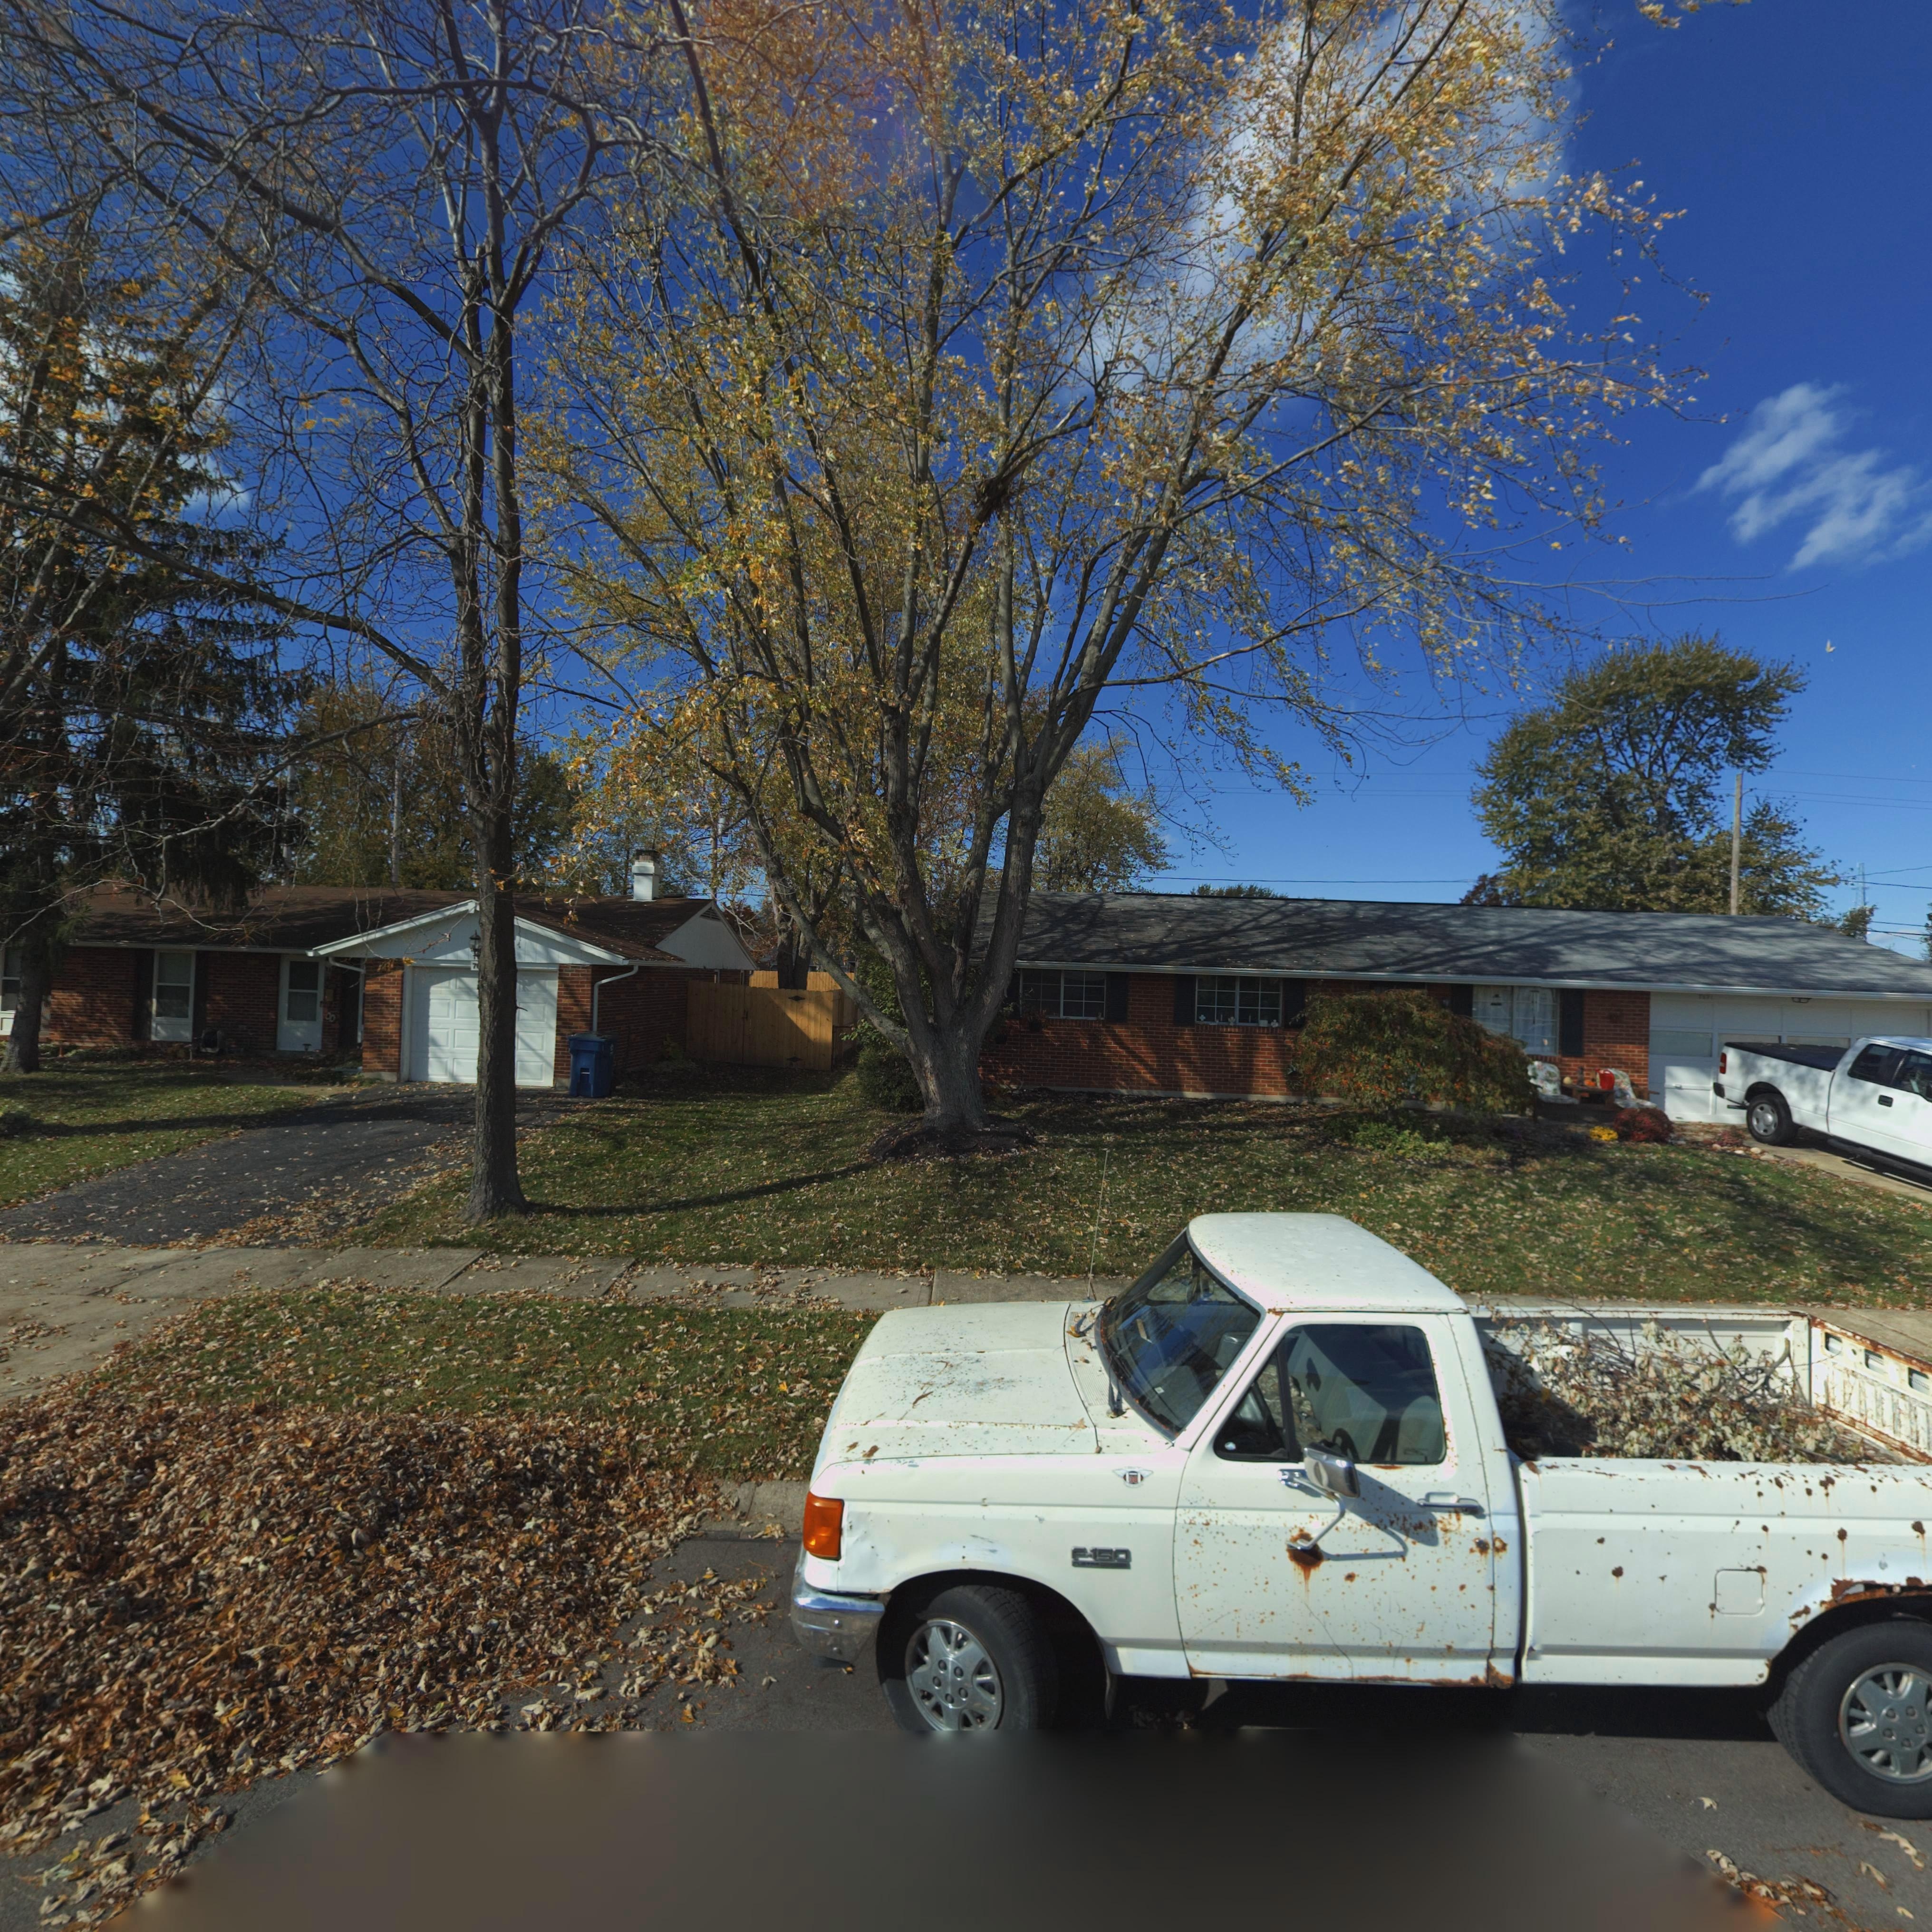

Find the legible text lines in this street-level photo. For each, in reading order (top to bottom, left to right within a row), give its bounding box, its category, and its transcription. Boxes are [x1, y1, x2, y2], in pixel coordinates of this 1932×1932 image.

[471, 962, 478, 970] StreetNumber: 7